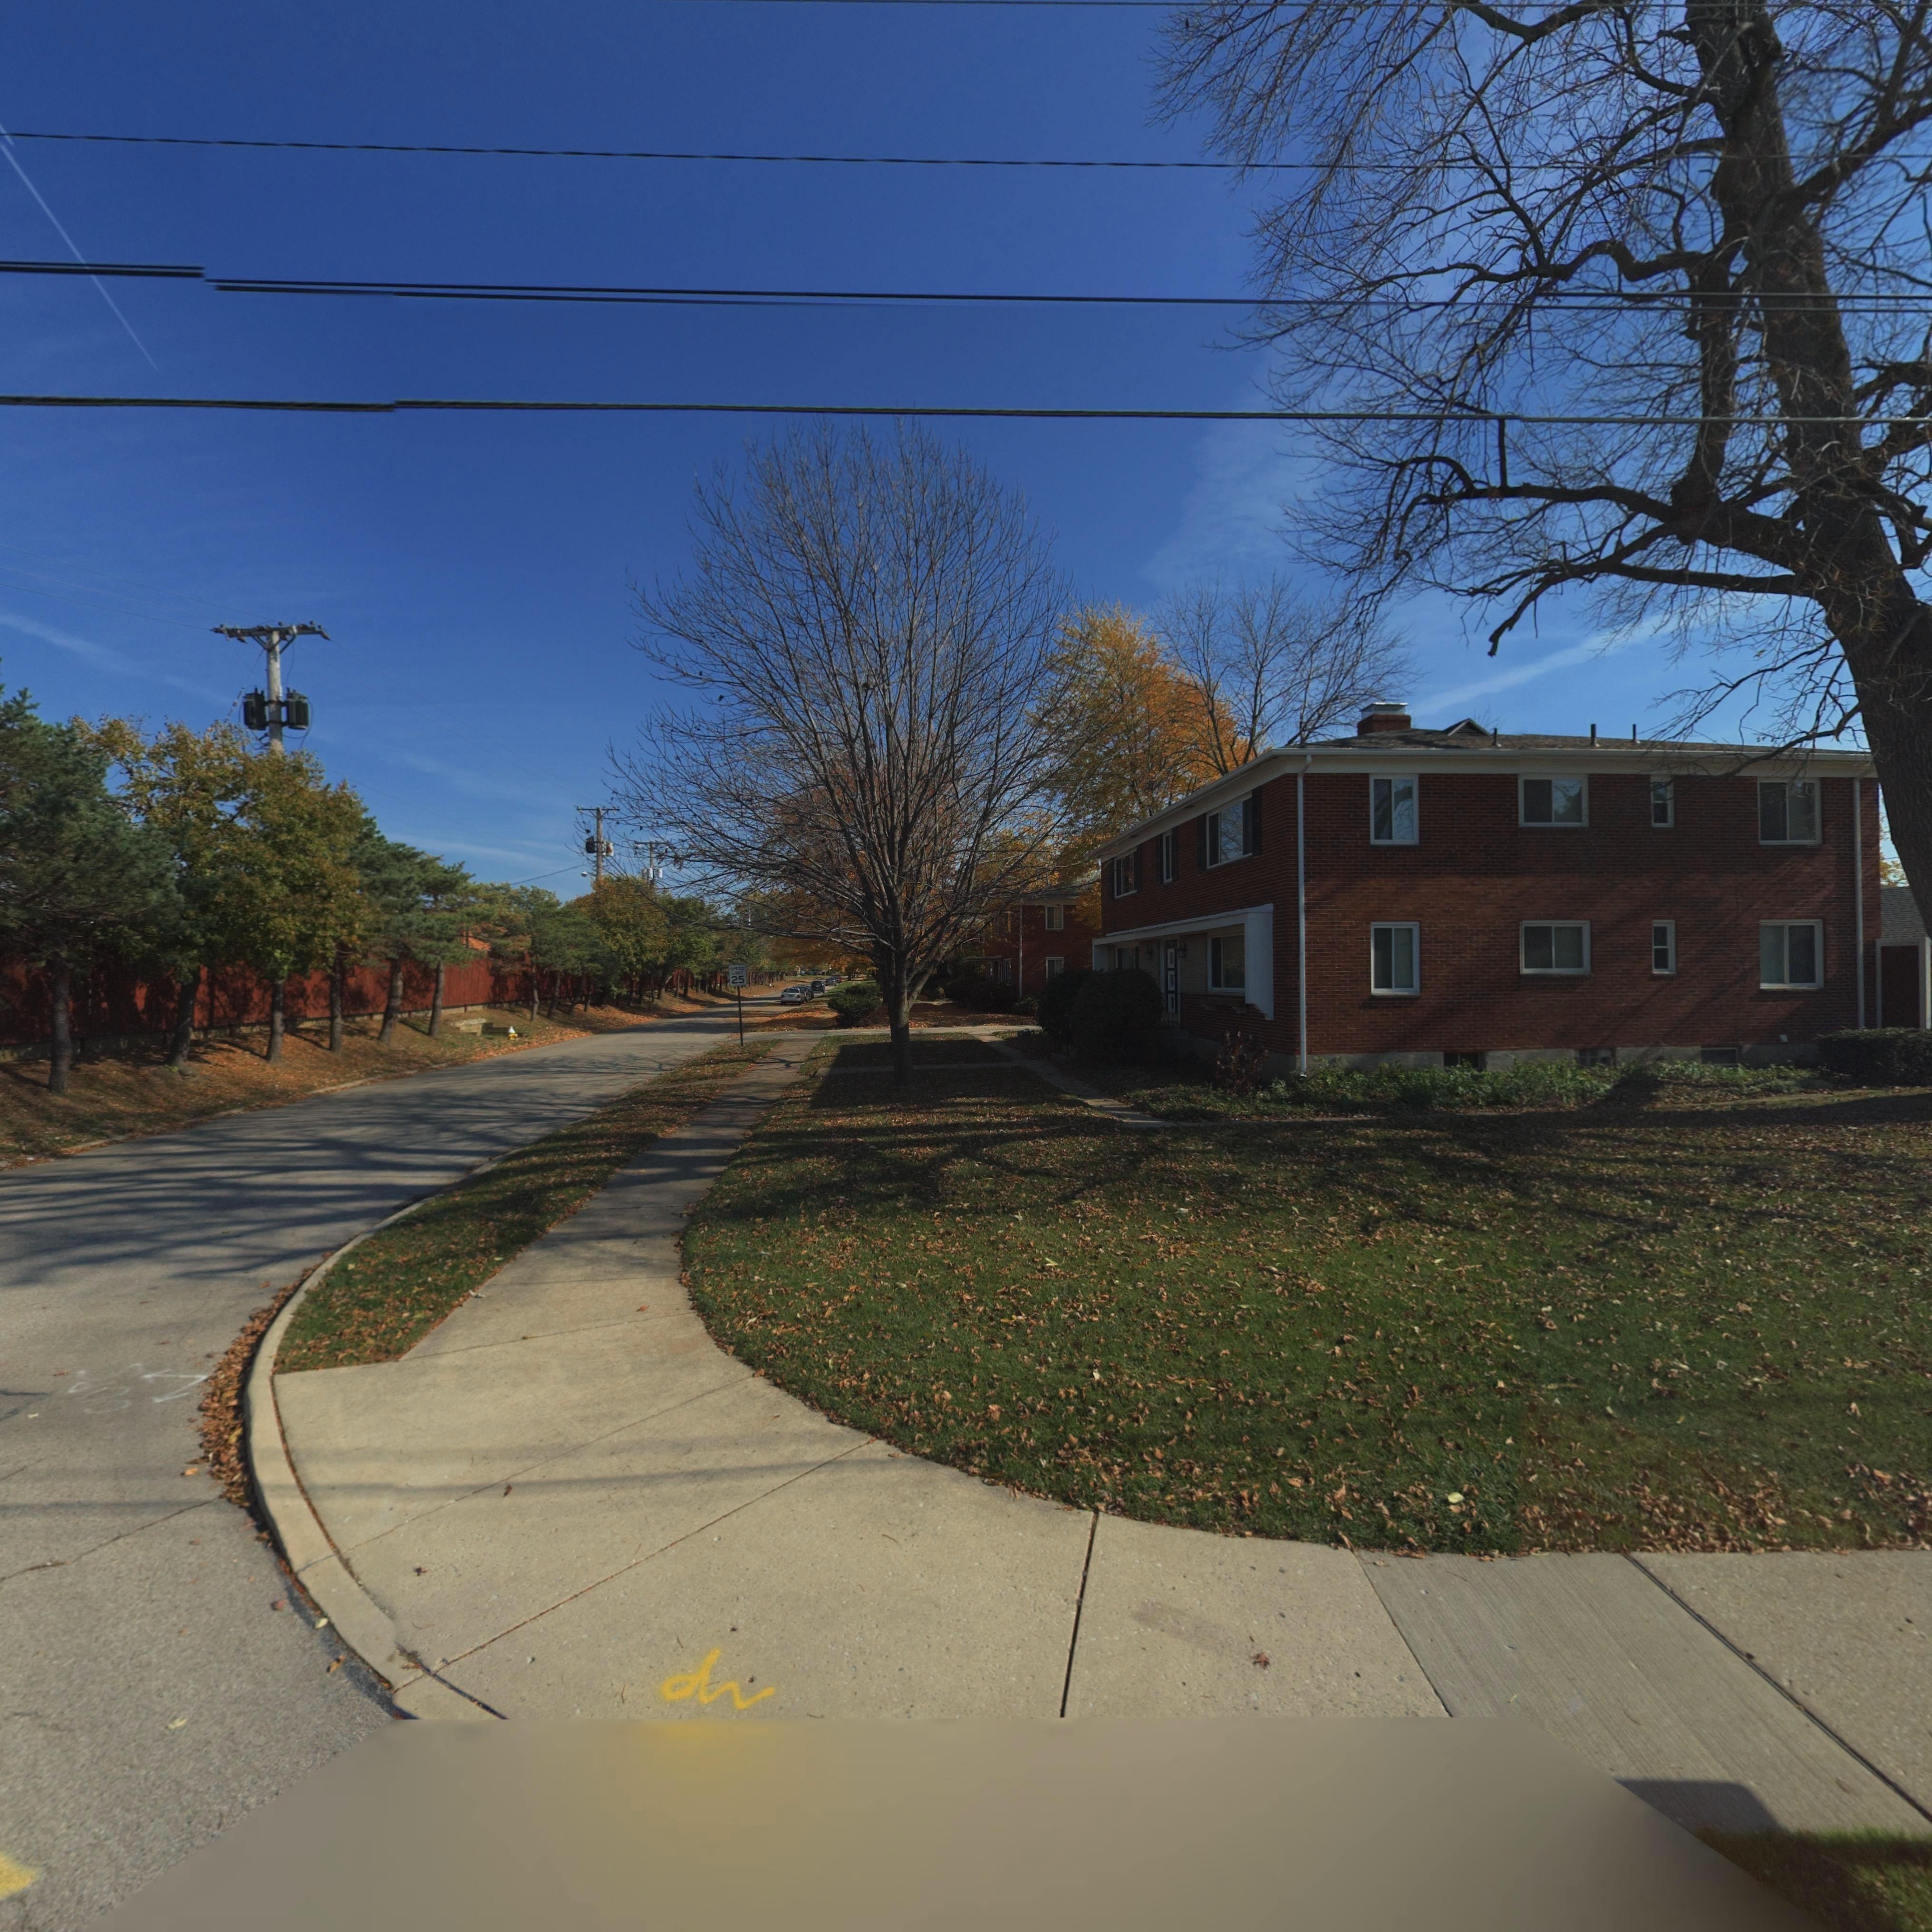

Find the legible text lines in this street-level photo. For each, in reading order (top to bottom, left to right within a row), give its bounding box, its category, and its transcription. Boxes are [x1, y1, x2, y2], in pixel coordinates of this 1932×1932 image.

[730, 966, 745, 971] None: SPEED
[731, 971, 744, 976] None: LIMIT
[731, 975, 745, 984] None: 25